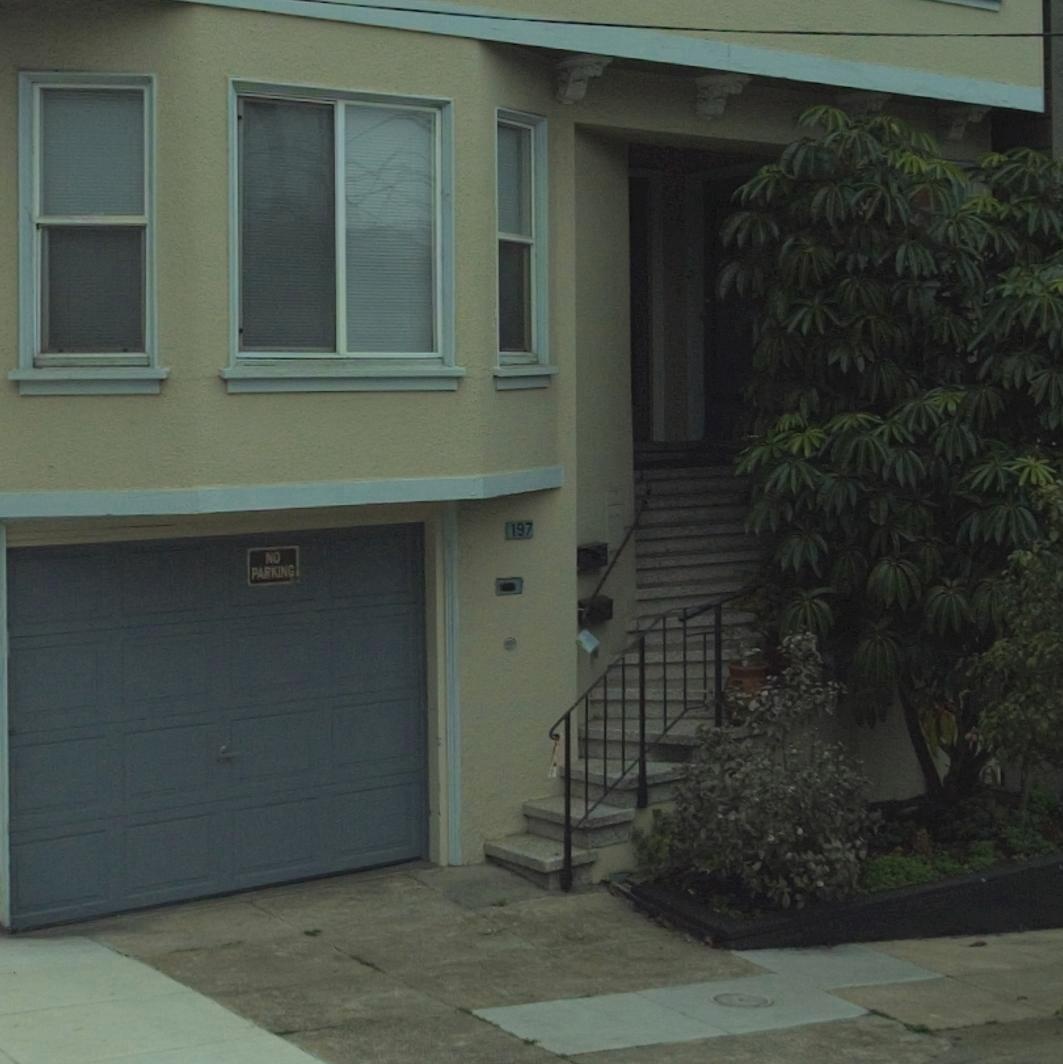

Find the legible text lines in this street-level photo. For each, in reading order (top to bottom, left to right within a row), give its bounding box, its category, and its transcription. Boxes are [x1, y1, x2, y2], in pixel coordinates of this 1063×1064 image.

[510, 521, 533, 538] StreetNumber: 197
[263, 550, 282, 566] None: NO
[249, 563, 296, 582] None: PARKING